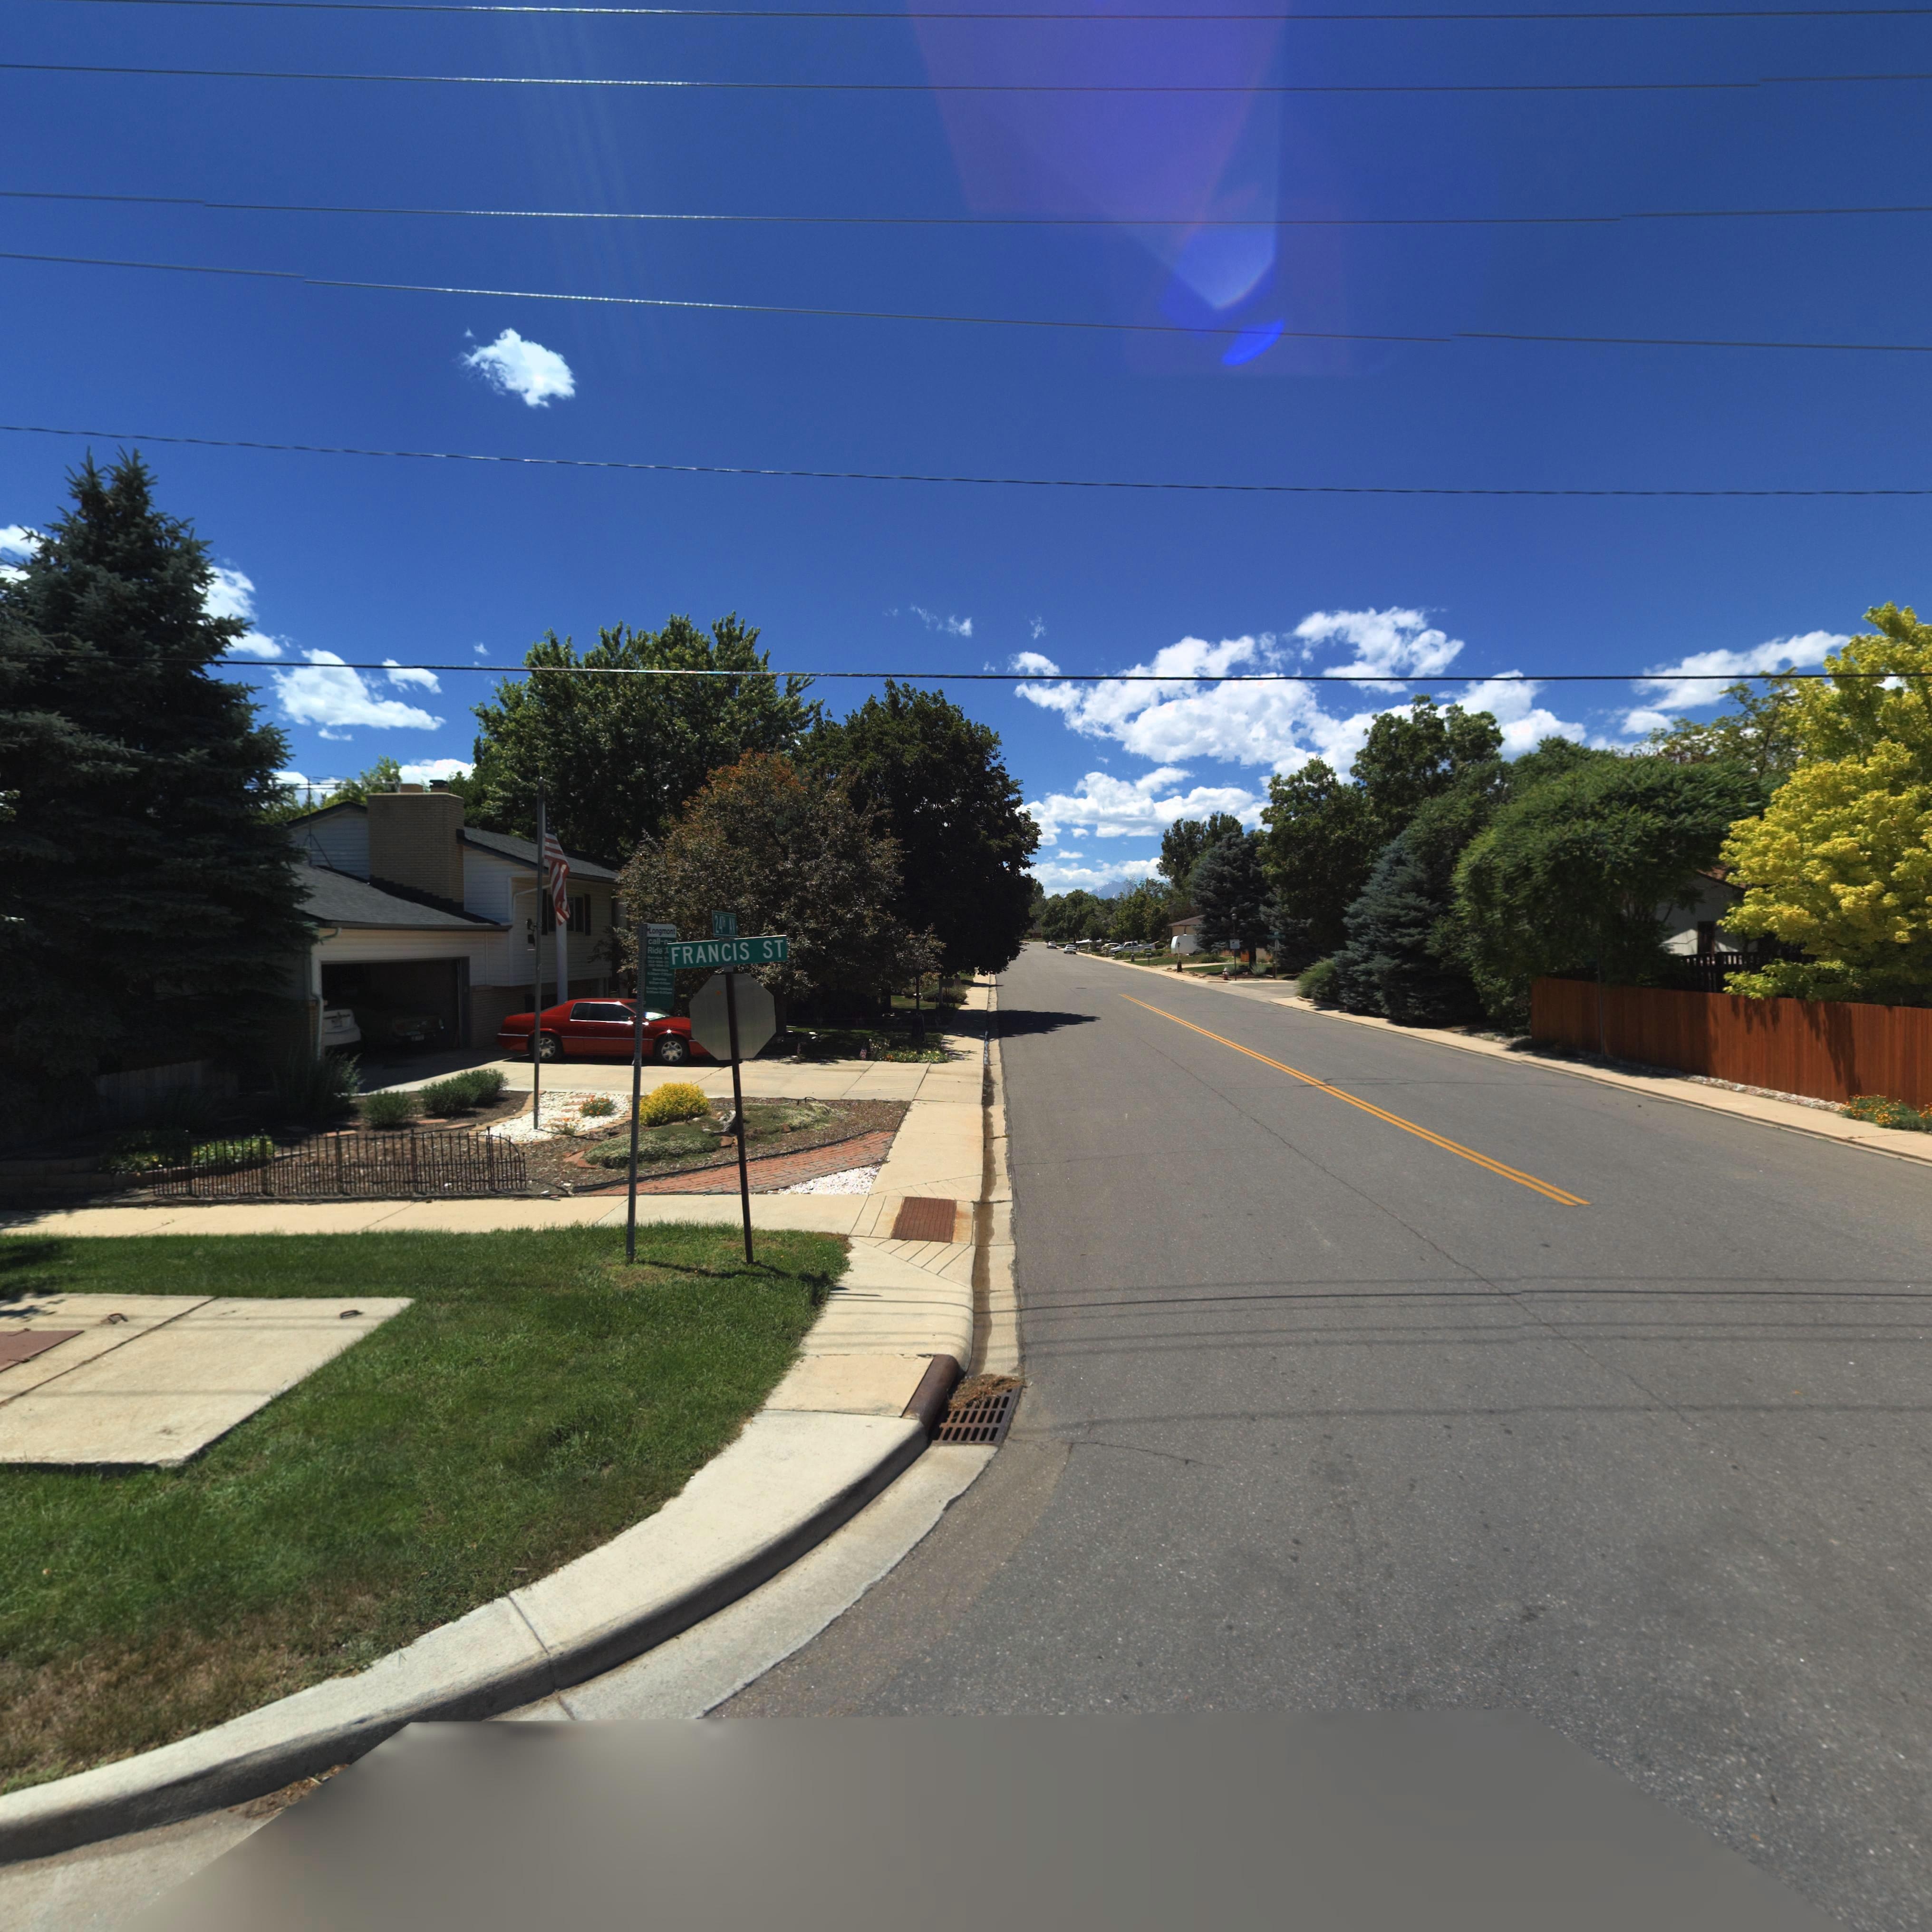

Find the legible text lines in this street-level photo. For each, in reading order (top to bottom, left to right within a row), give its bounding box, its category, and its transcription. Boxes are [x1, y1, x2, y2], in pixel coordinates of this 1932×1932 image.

[713, 914, 736, 935] StreetName: 24th AV
[670, 939, 784, 965] StreetName: Francis St